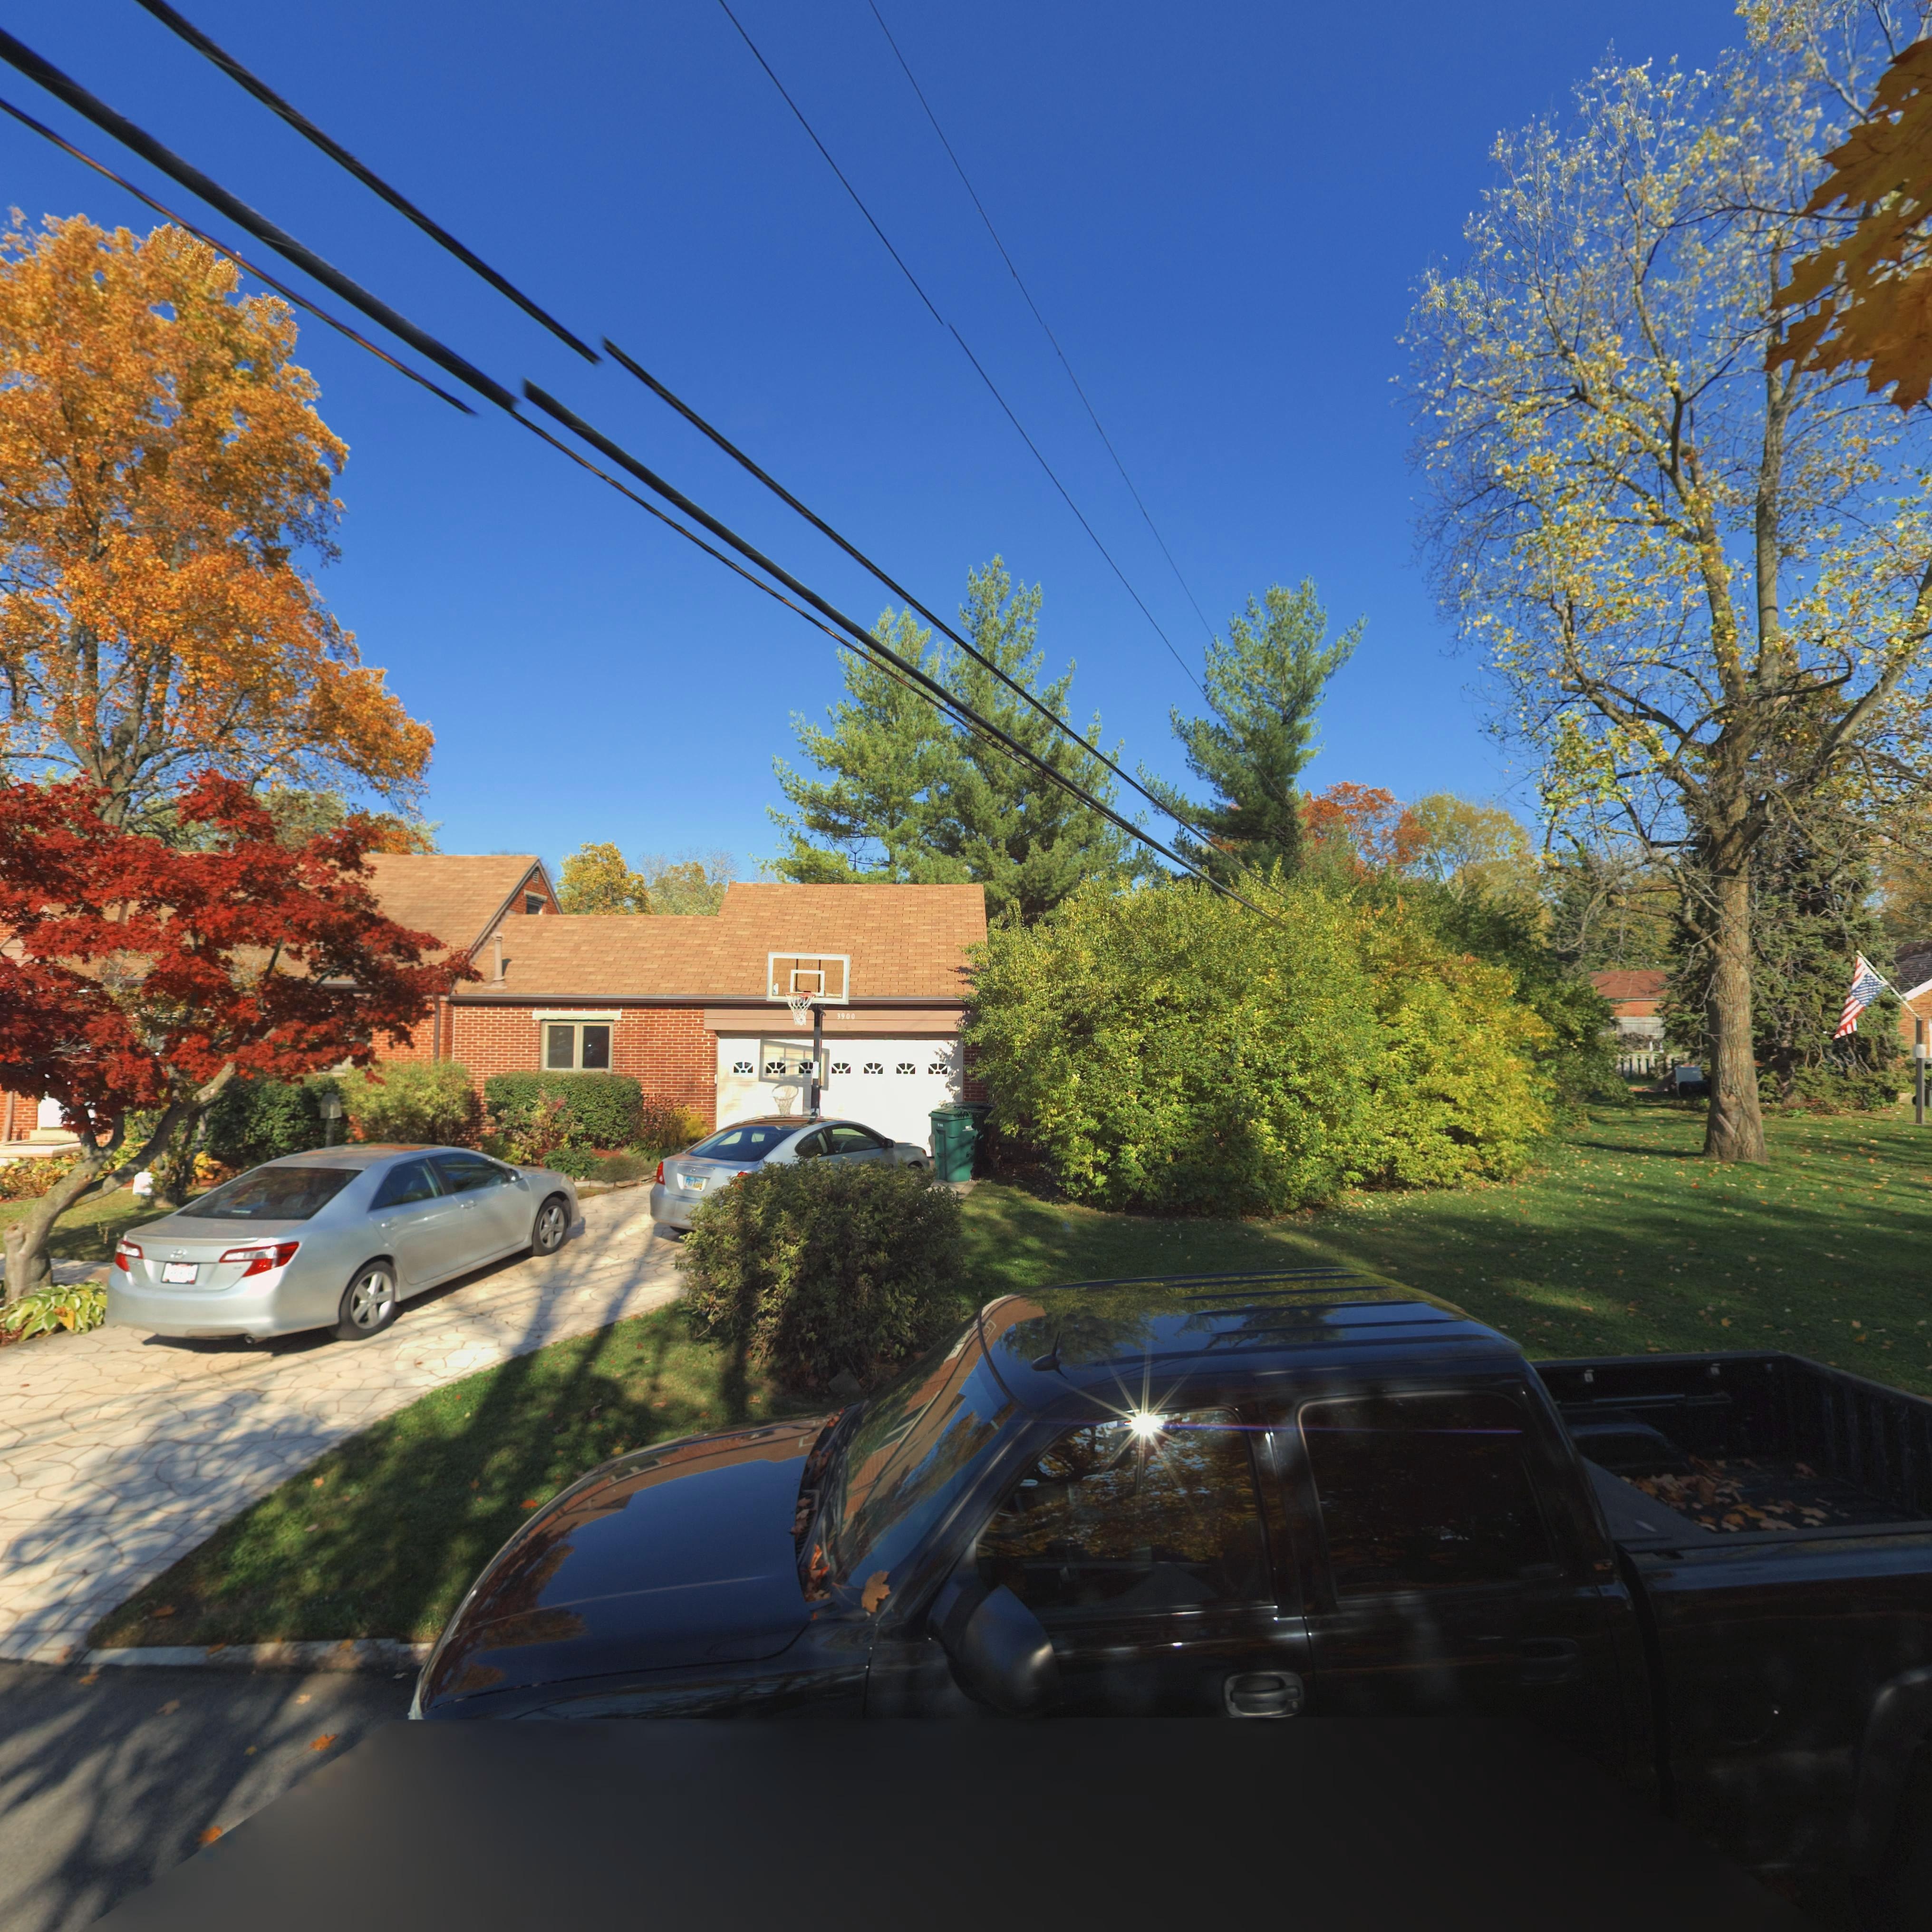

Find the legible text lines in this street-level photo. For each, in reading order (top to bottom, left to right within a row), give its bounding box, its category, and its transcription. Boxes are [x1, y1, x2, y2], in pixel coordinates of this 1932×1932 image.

[836, 1012, 856, 1021] StreetNumber: 3900